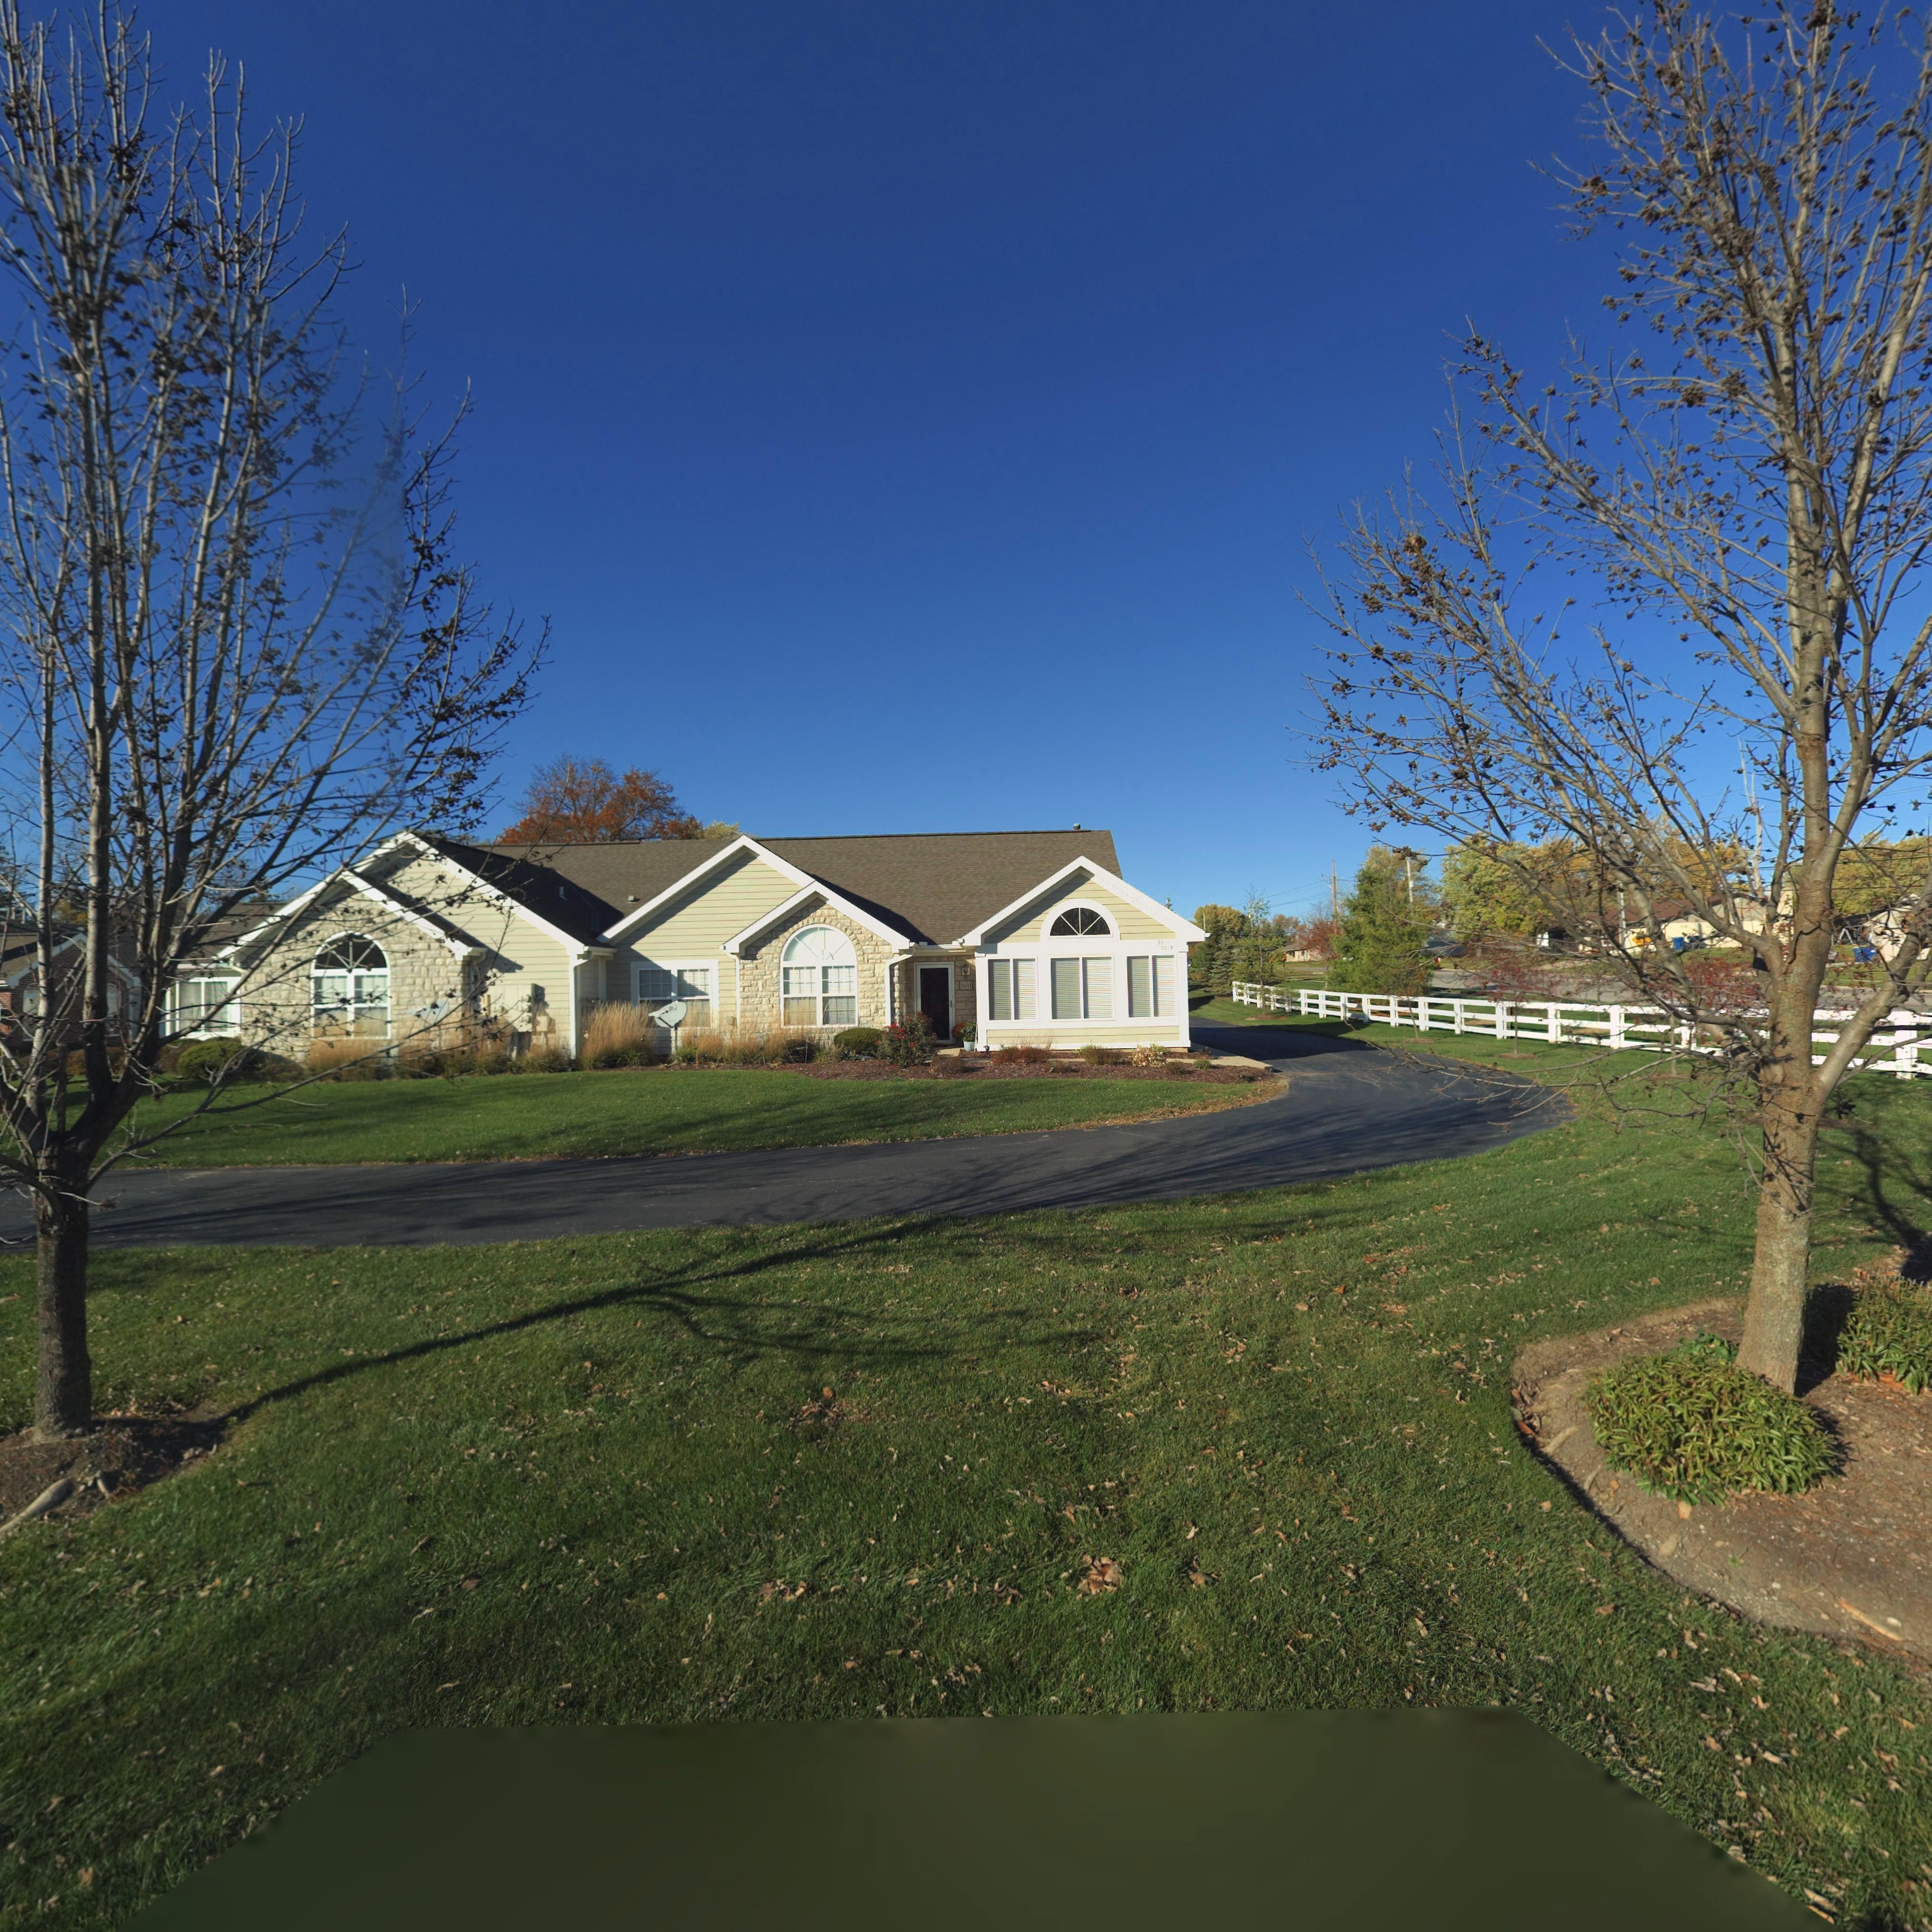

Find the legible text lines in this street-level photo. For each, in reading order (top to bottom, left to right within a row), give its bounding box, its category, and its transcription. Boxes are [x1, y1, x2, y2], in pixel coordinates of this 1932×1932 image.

[1157, 939, 1170, 946] StreetNumber: *0**
[1159, 944, 1174, 951] StreetNumber: *0**
[960, 982, 973, 989] StreetNumber: 5011